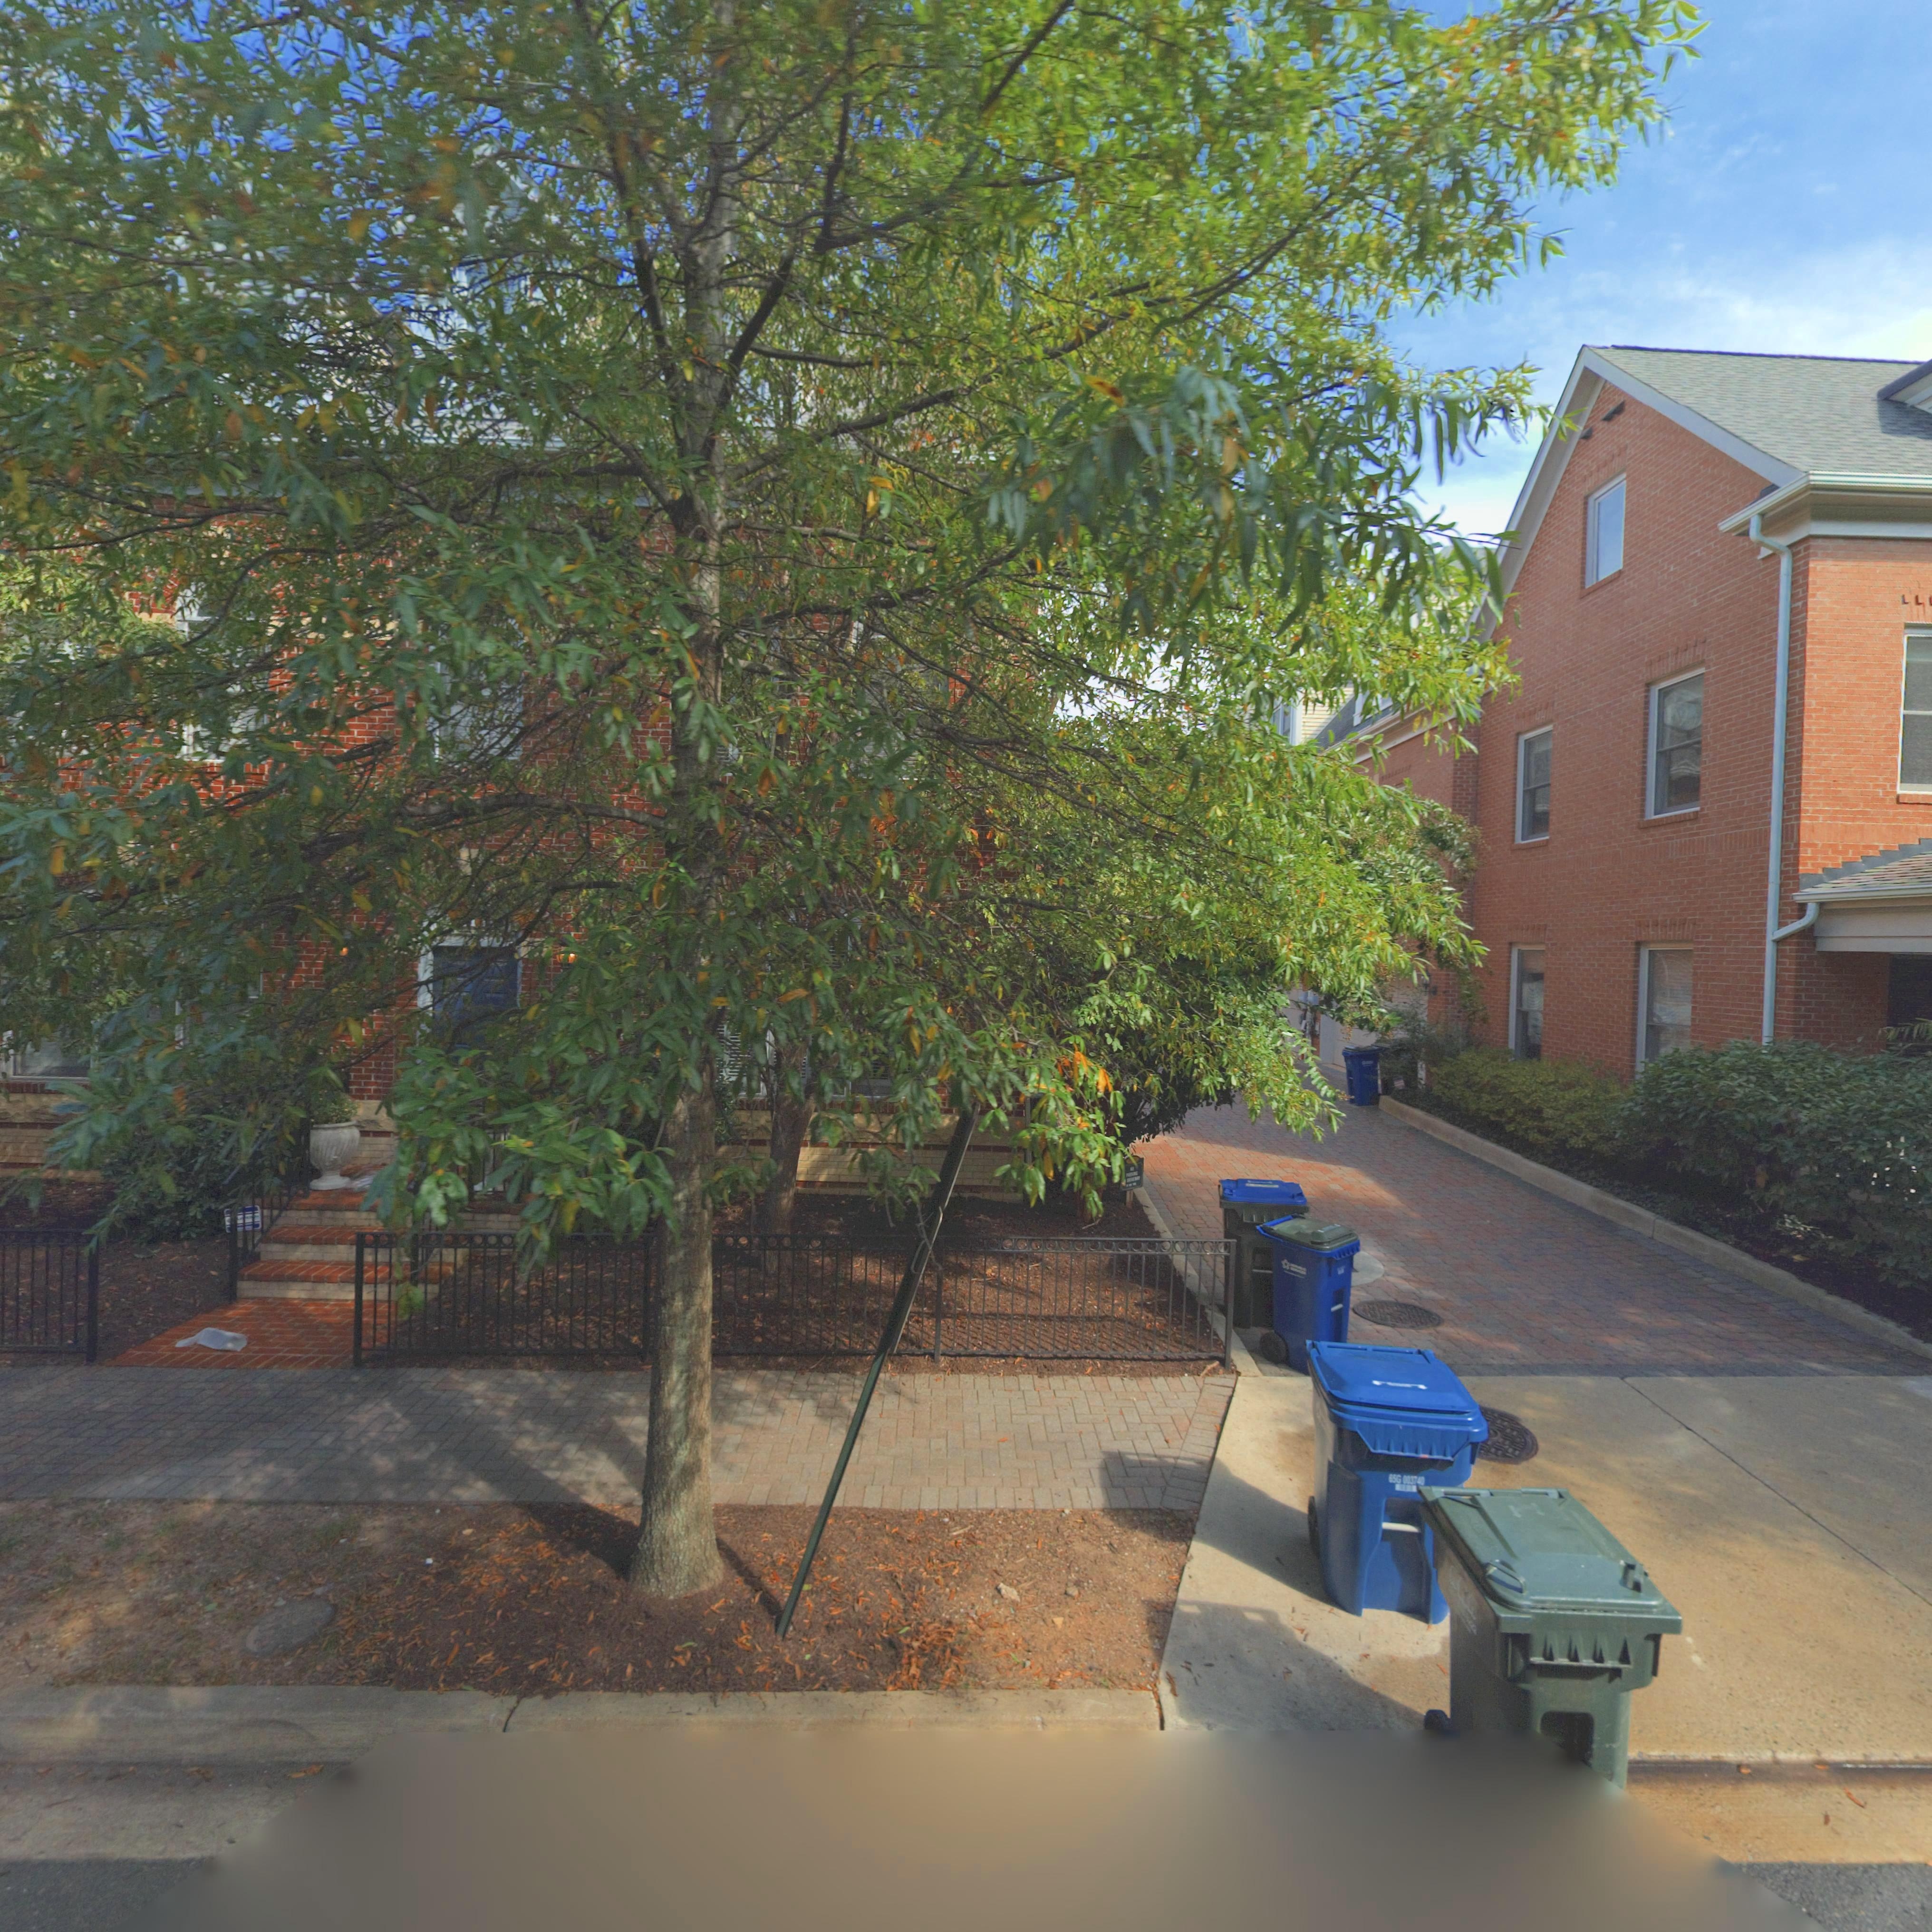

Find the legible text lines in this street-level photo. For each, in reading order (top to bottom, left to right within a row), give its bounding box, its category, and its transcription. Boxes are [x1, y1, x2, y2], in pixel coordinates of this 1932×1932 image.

[1387, 1472, 1426, 1488] None: 65G 003740